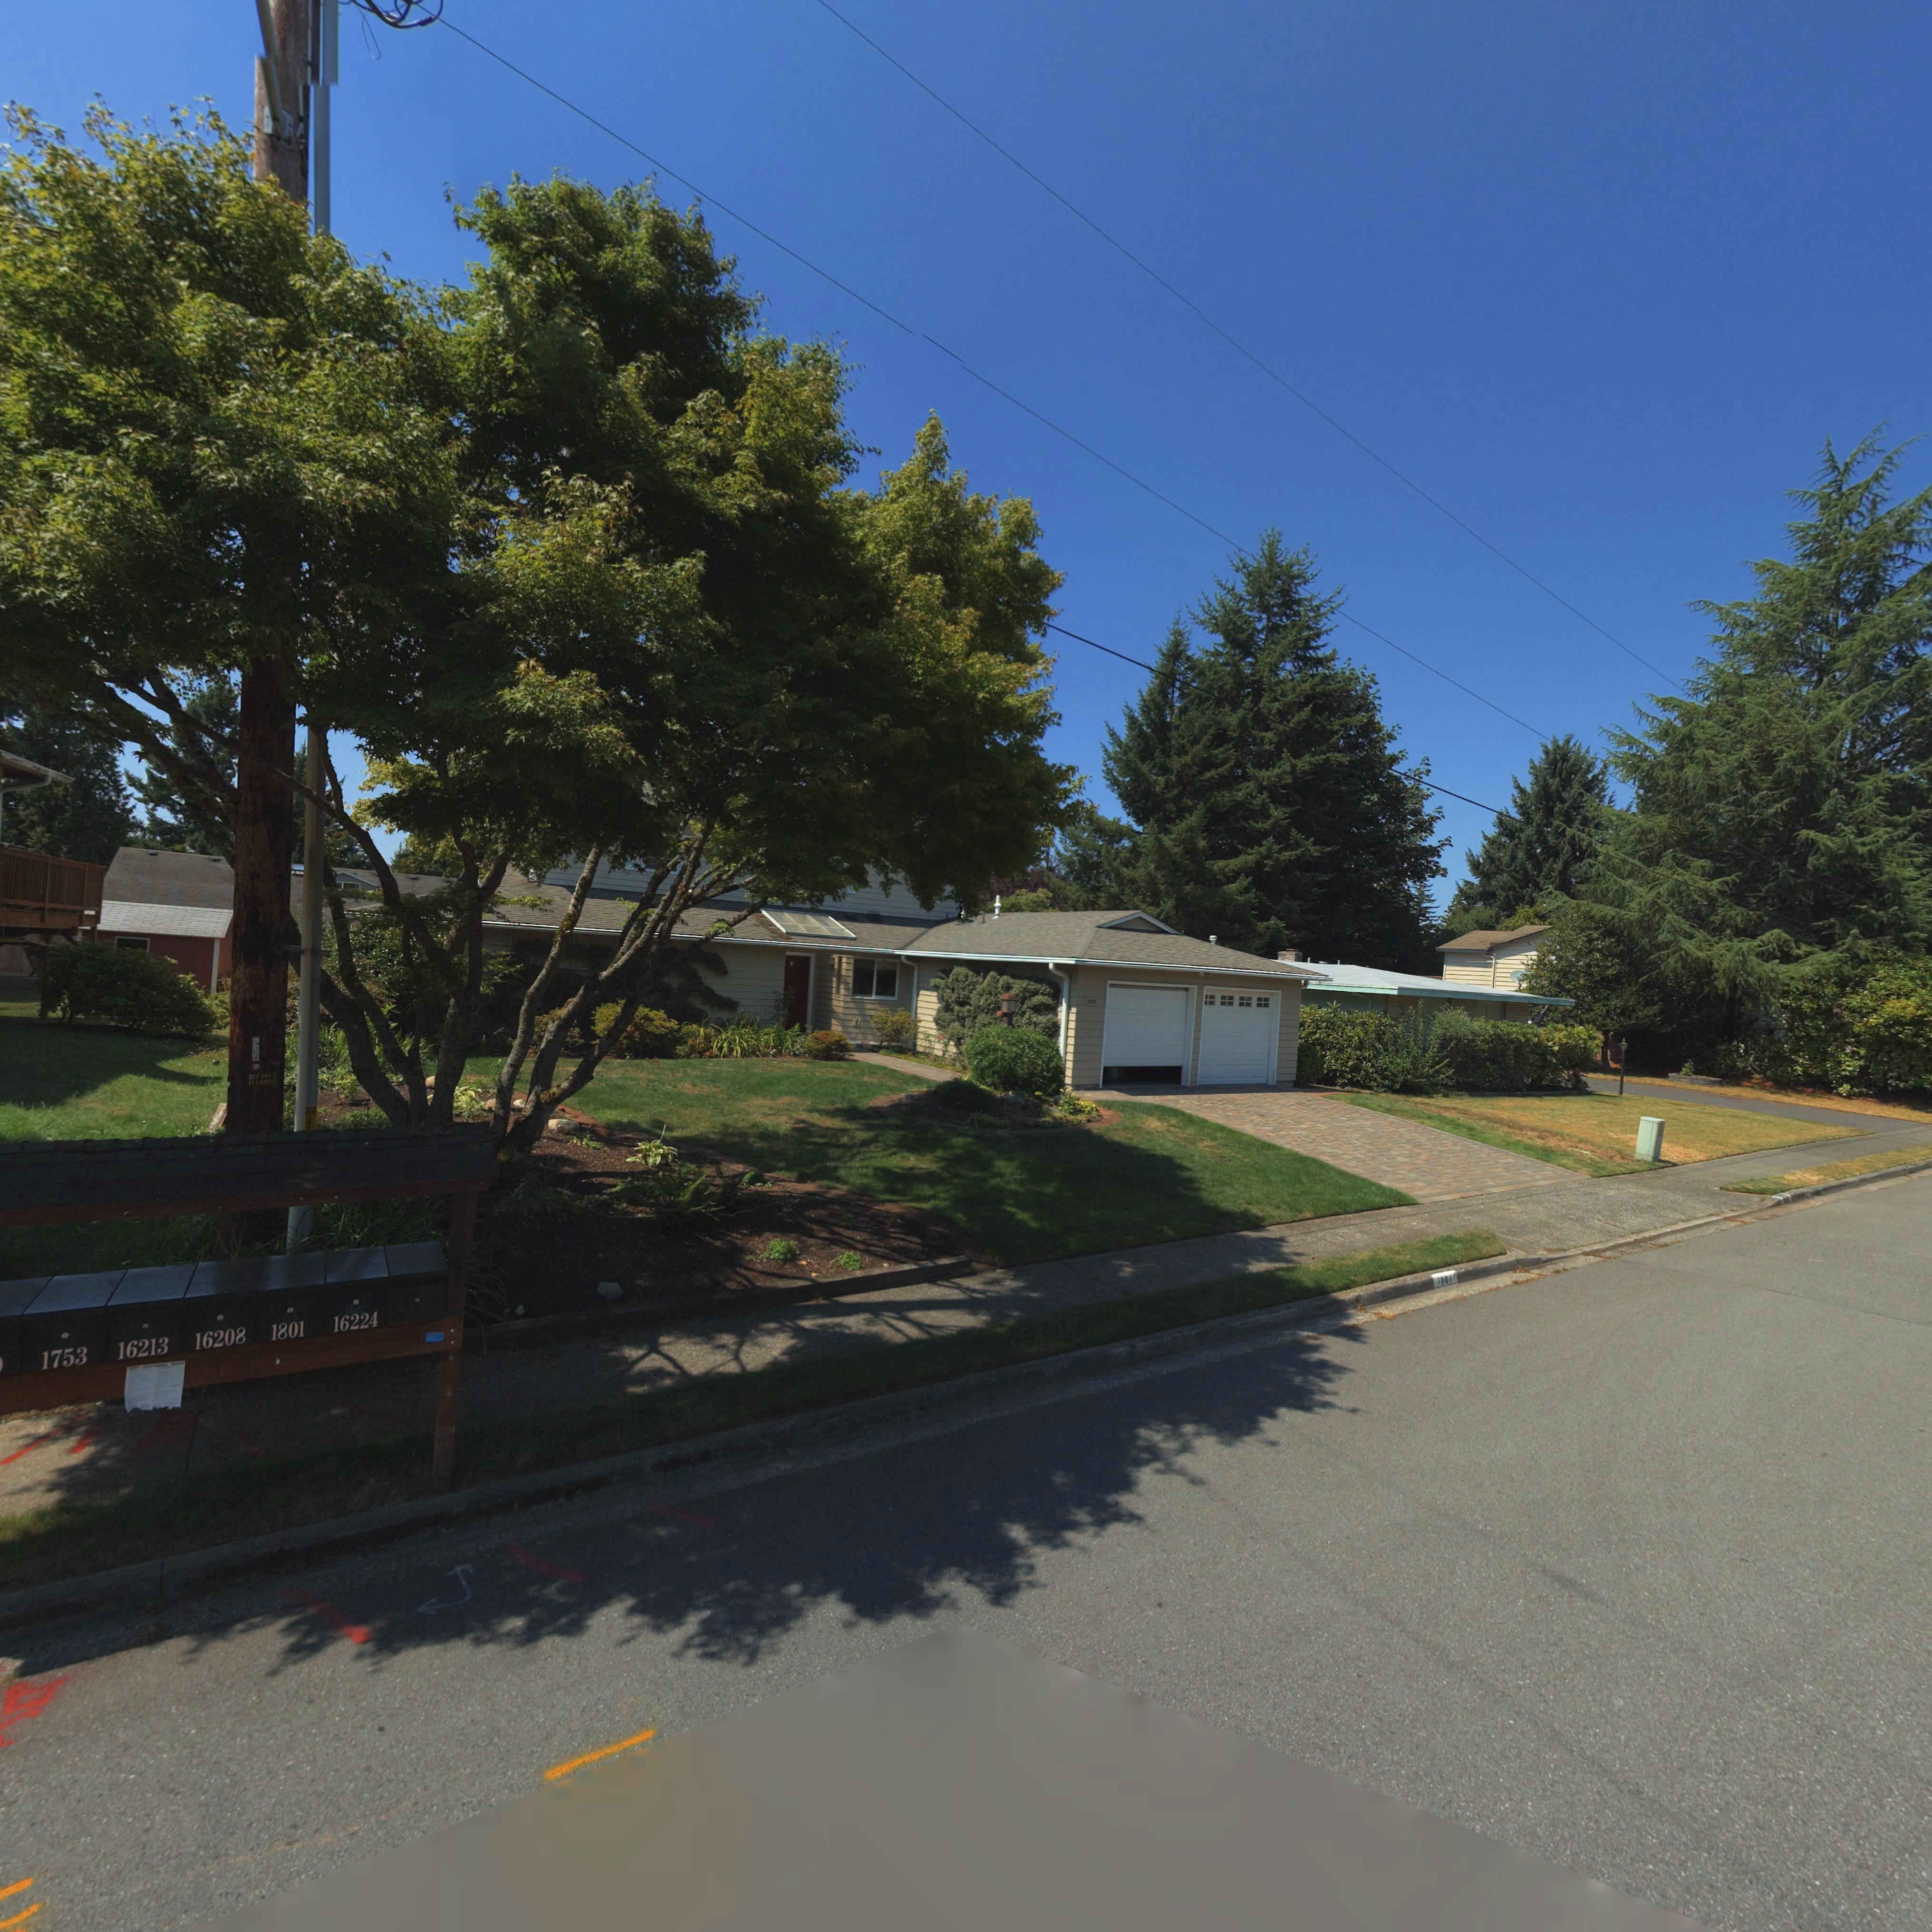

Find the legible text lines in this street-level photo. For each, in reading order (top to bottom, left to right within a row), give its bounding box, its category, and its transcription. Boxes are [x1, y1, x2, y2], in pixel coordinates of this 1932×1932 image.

[1437, 1275, 1452, 1286] StreetNumber: 1801
[41, 1345, 88, 1370] StreetNumber: 1753
[118, 1334, 169, 1362] StreetNumber: 16213
[194, 1324, 249, 1352] StreetNumber: 16208
[271, 1319, 305, 1342] StreetNumber: 1801
[330, 1307, 381, 1335] StreetNumber: 16224